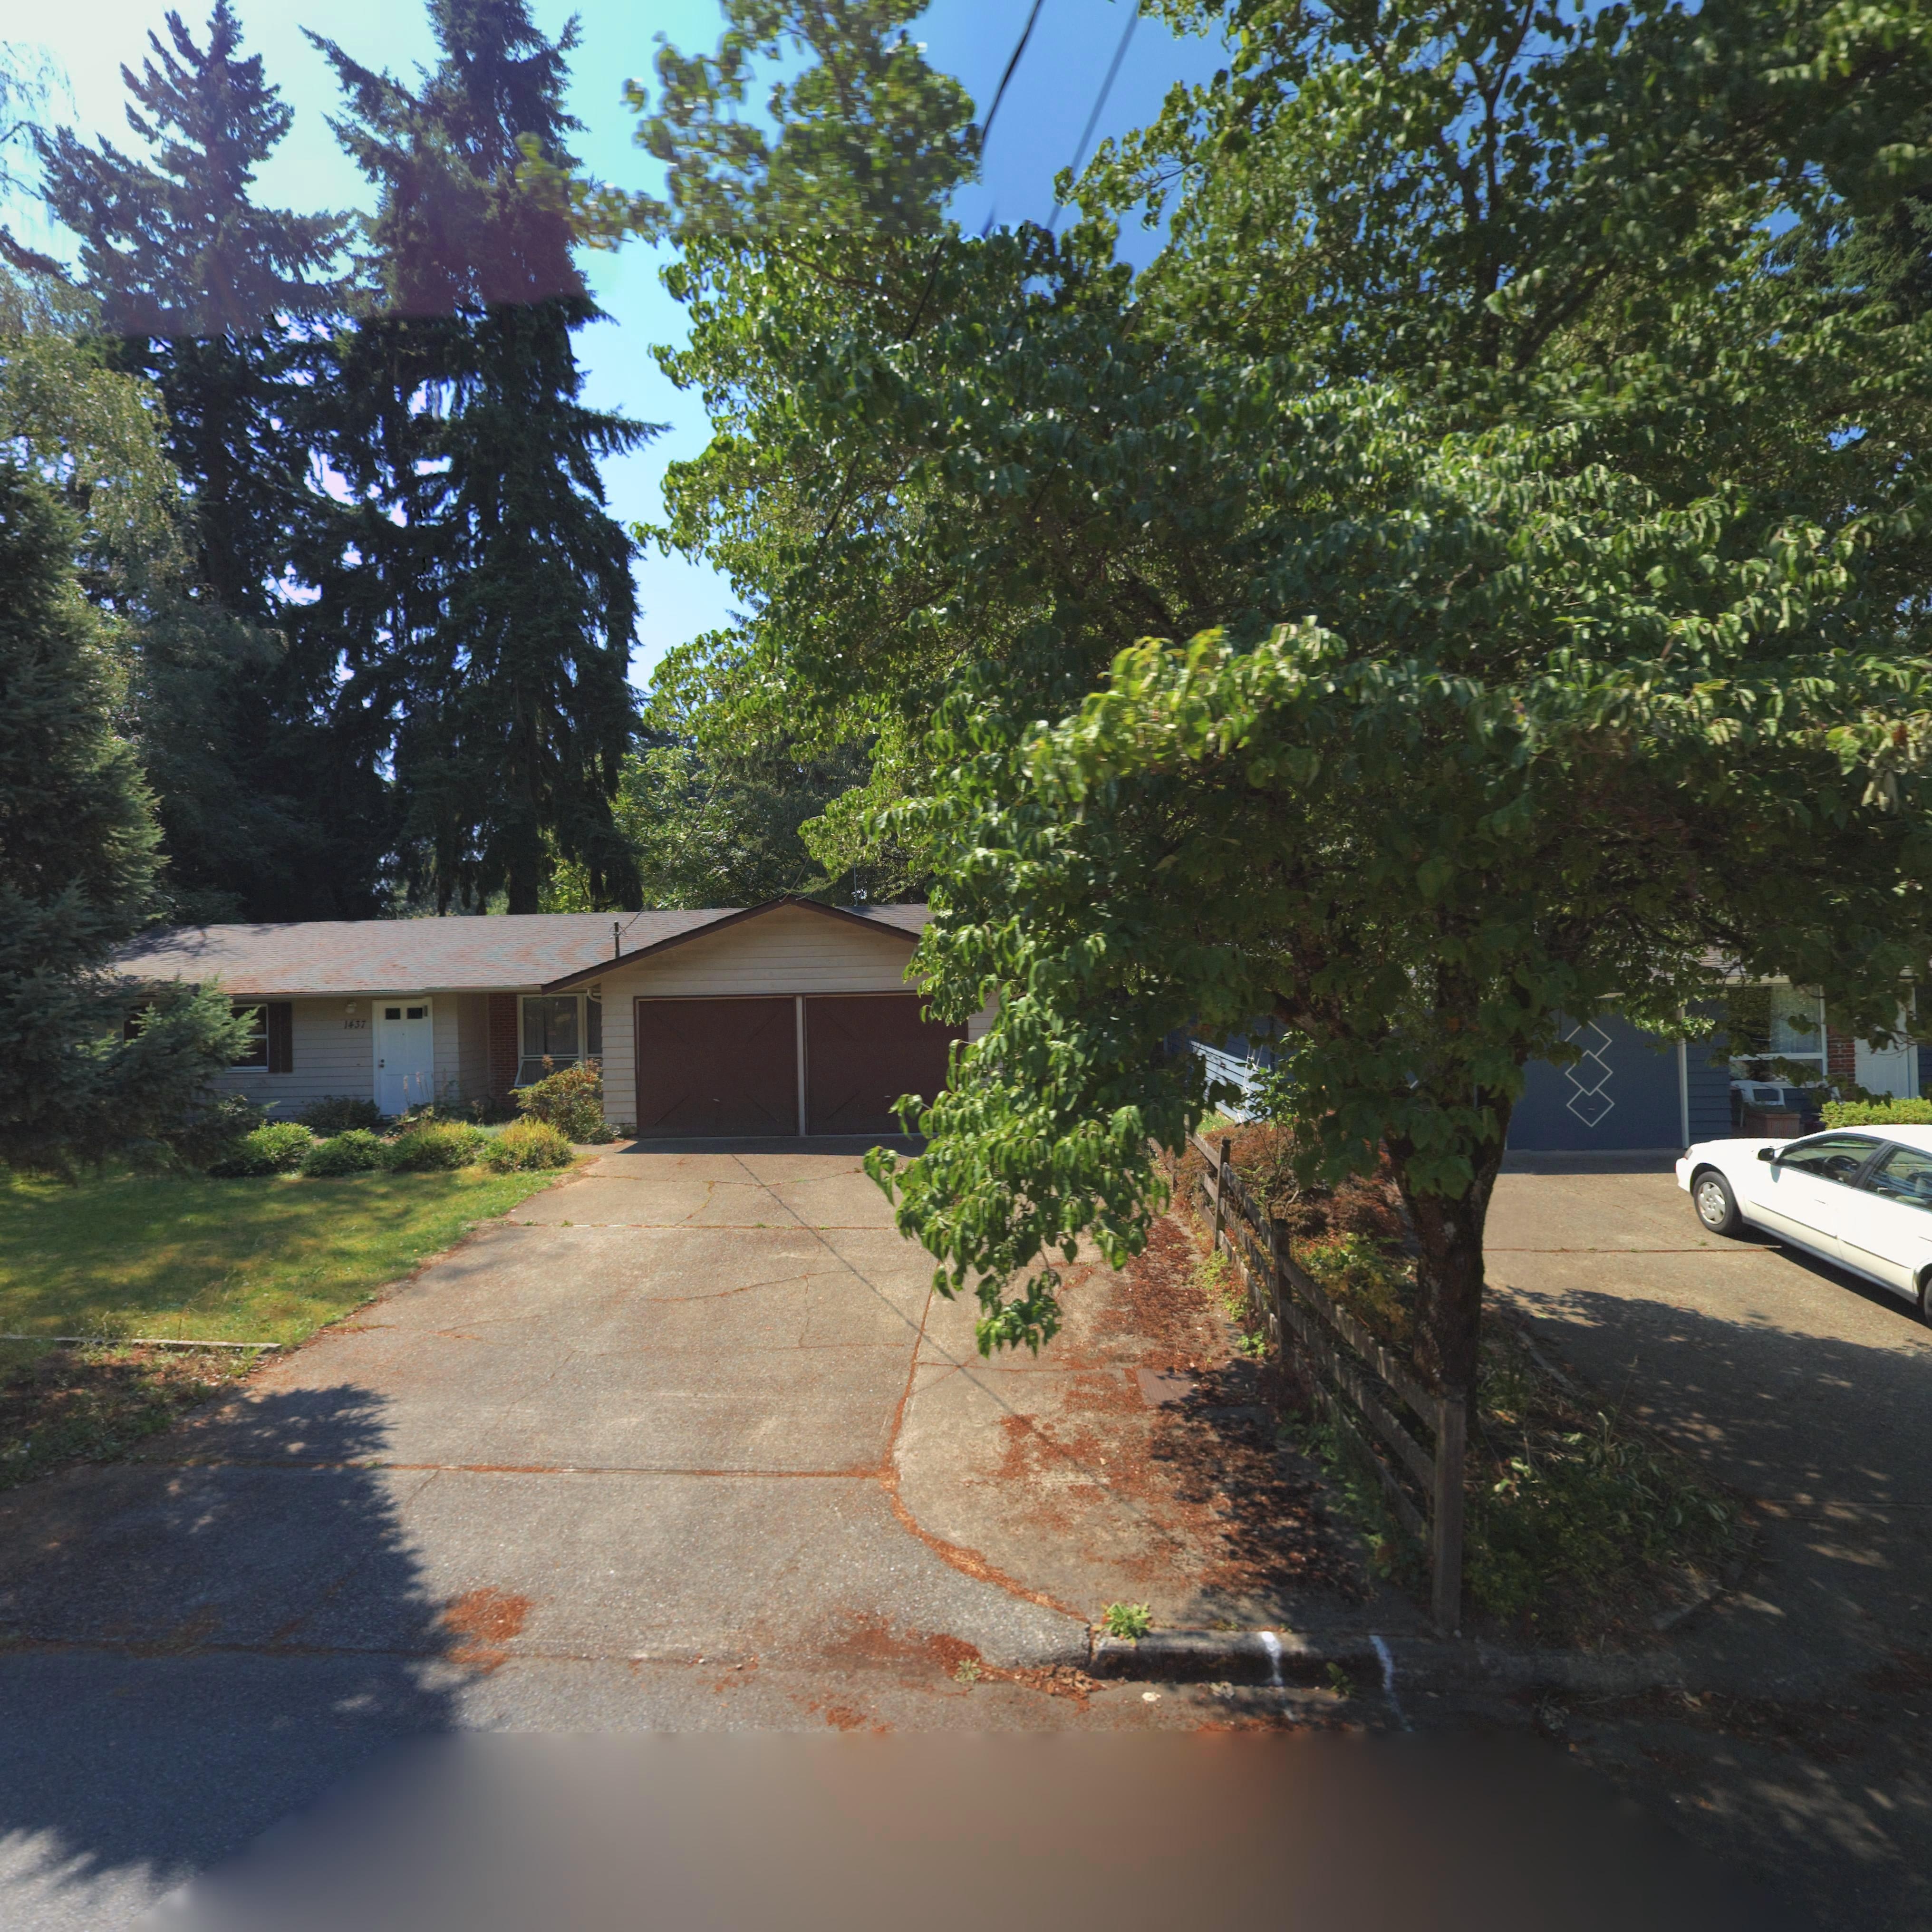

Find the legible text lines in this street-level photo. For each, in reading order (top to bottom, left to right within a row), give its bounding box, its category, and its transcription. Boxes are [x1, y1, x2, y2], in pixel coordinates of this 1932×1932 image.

[344, 1020, 367, 1029] StreetNumber: 1437